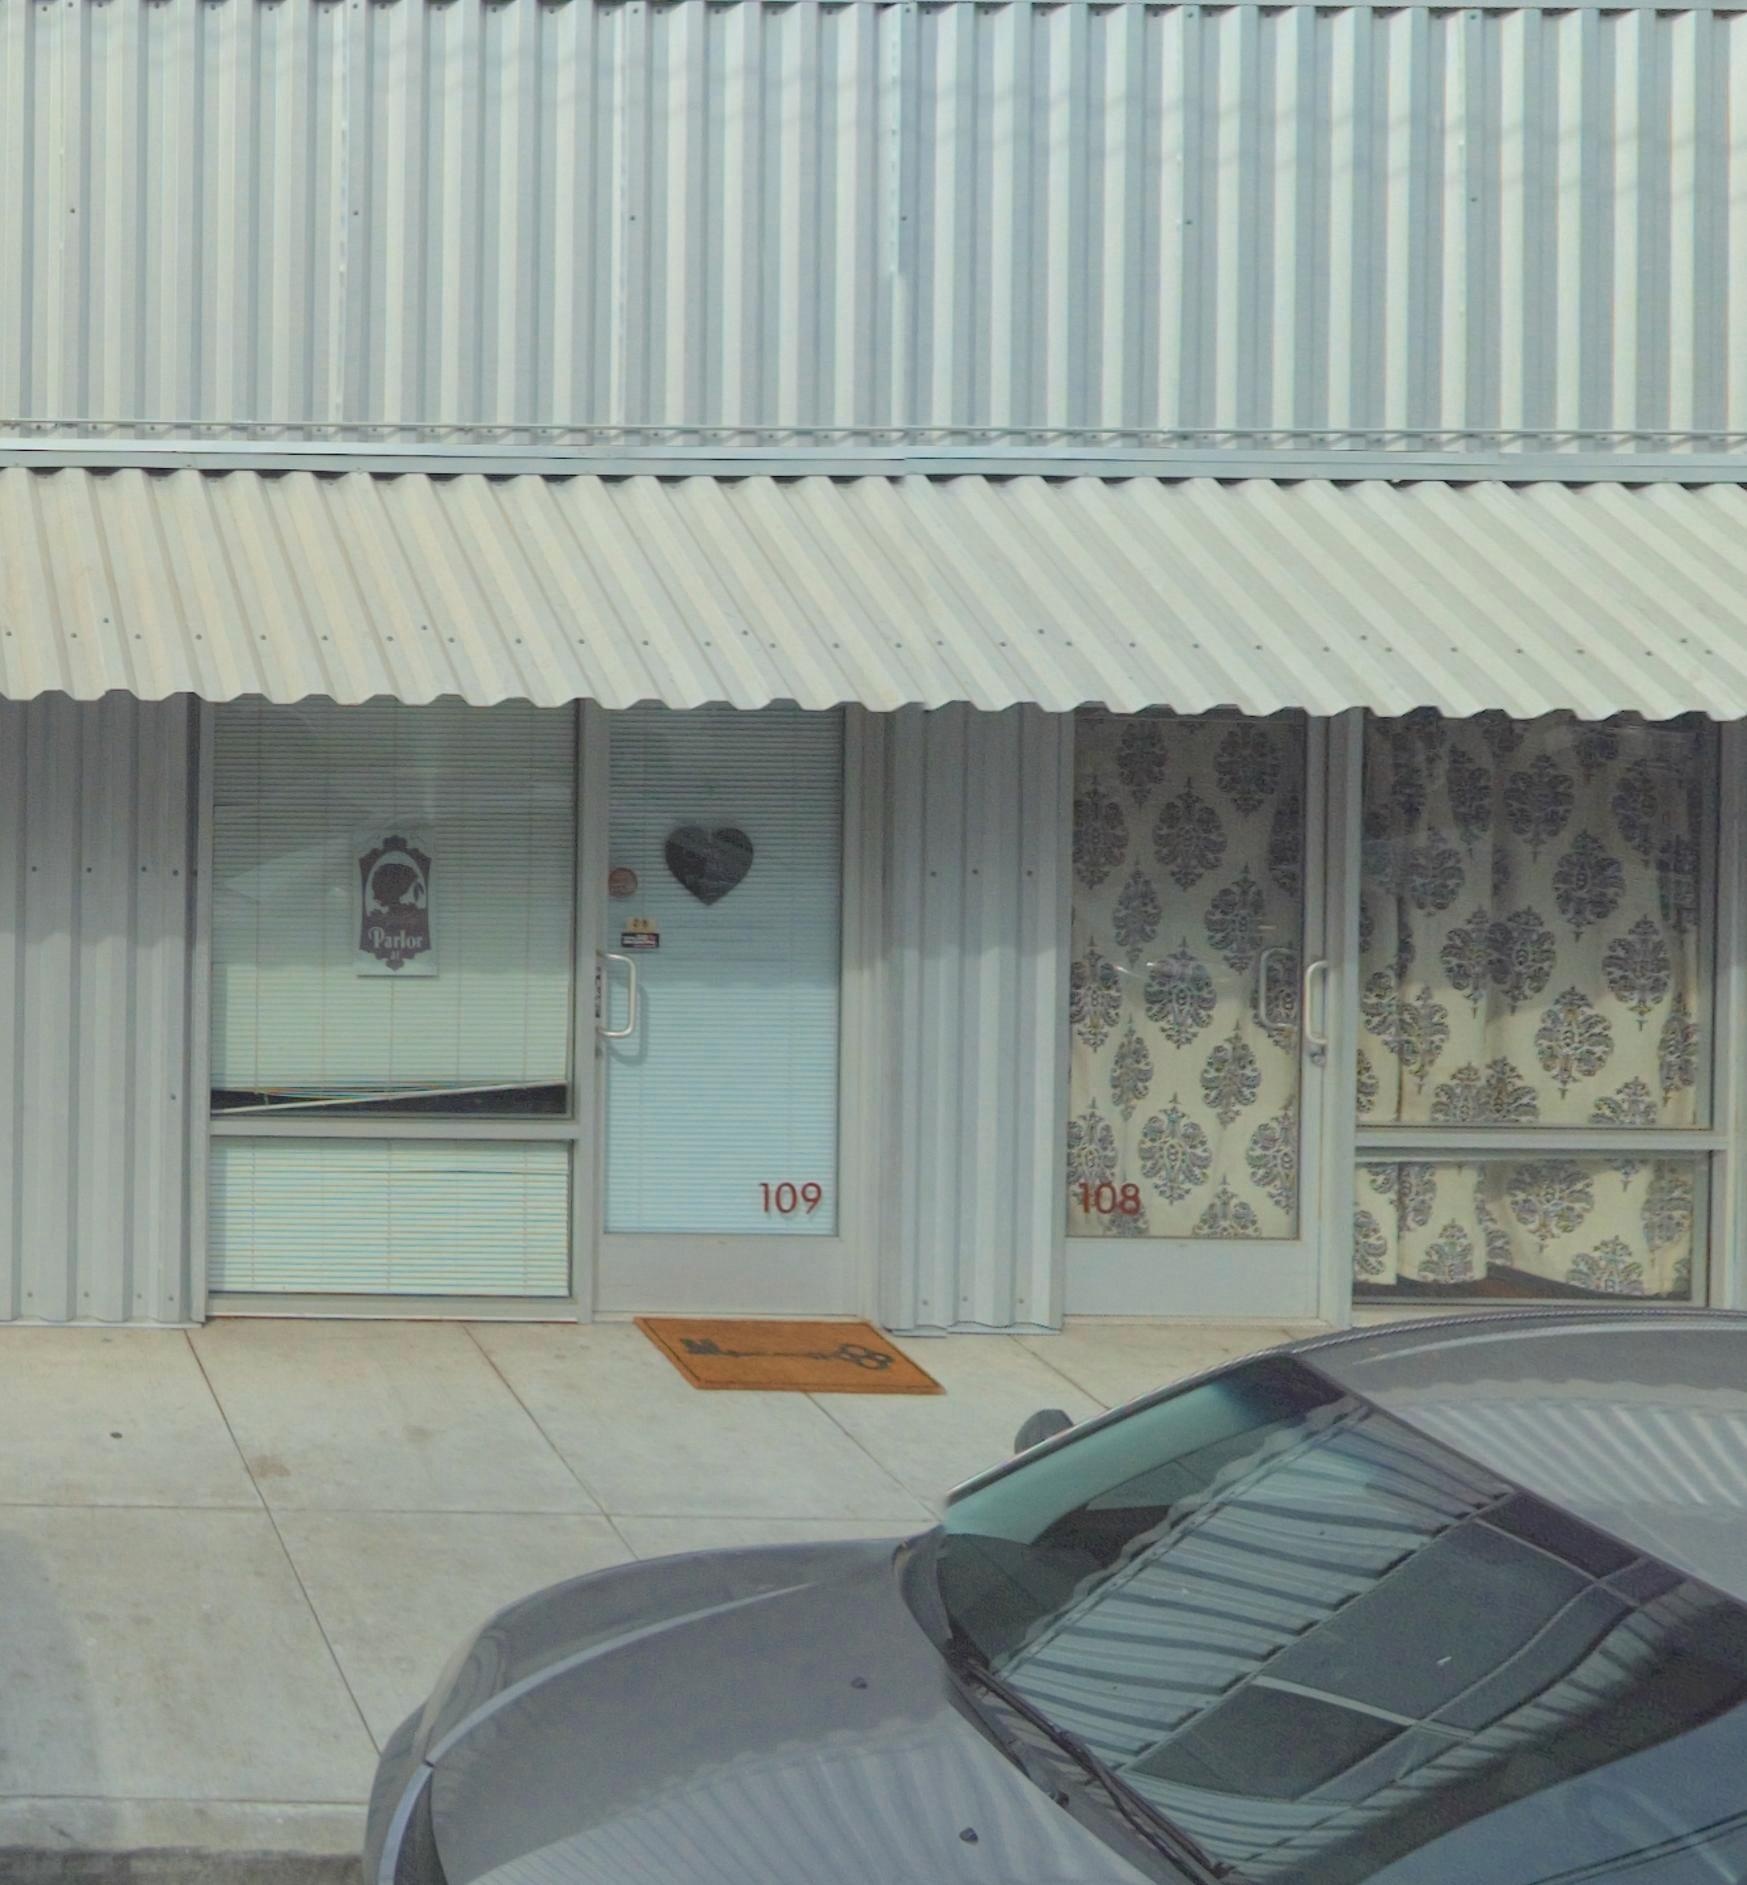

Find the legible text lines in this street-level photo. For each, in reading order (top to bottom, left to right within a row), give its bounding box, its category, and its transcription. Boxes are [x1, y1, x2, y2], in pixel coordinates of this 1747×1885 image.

[366, 925, 424, 950] None: Parlor
[757, 1180, 824, 1216] StreetNumber: 109
[1077, 1180, 1142, 1217] StreetNumber: 109